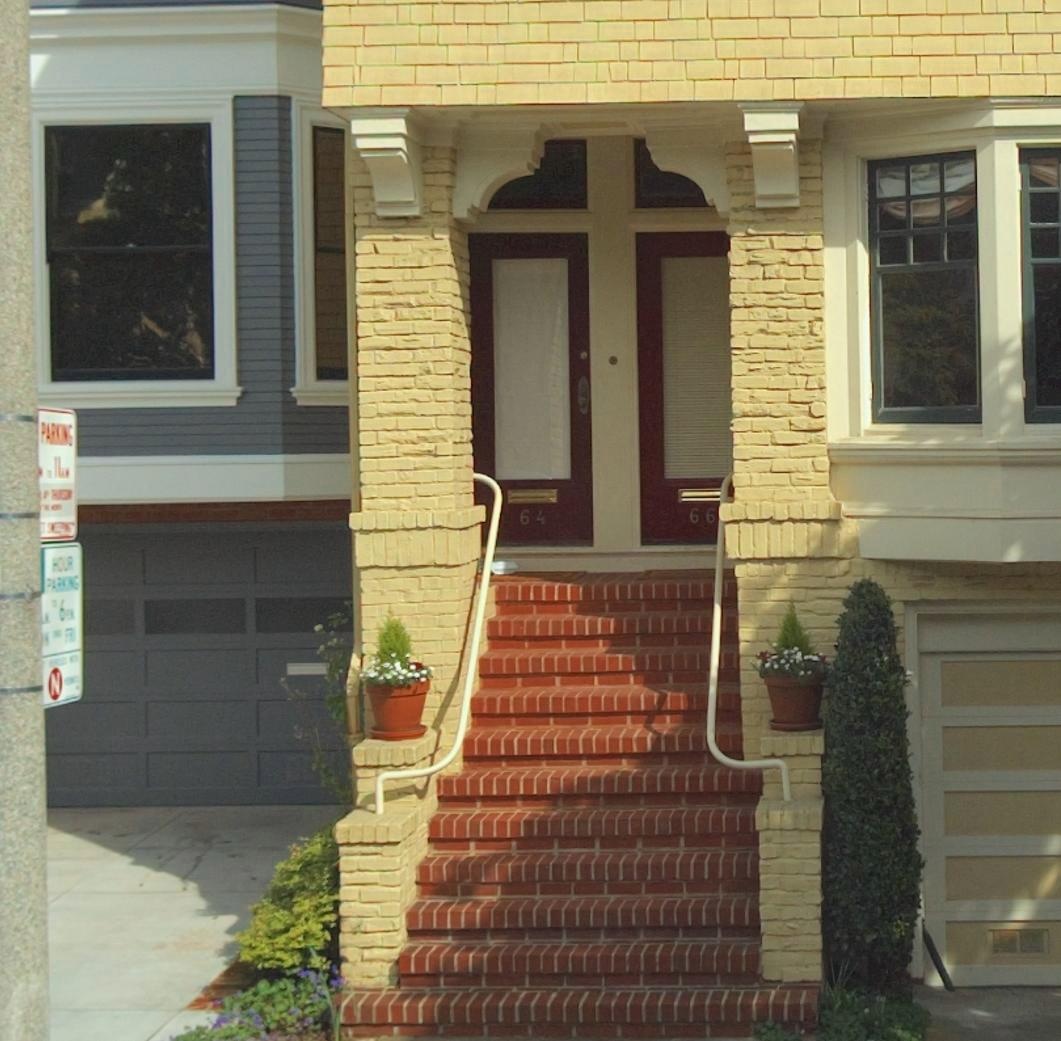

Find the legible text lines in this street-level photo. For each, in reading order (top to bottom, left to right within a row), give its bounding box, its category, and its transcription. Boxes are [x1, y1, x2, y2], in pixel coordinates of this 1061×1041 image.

[39, 419, 75, 448] None: PARKING
[52, 454, 64, 479] None: 11
[519, 508, 547, 527] StreetNumber: 64
[688, 506, 717, 525] StreetNumber: 66
[49, 553, 77, 575] None: HOUR
[44, 573, 80, 595] None: PARKING
[57, 597, 67, 624] None: 6
[49, 669, 62, 699] None: N